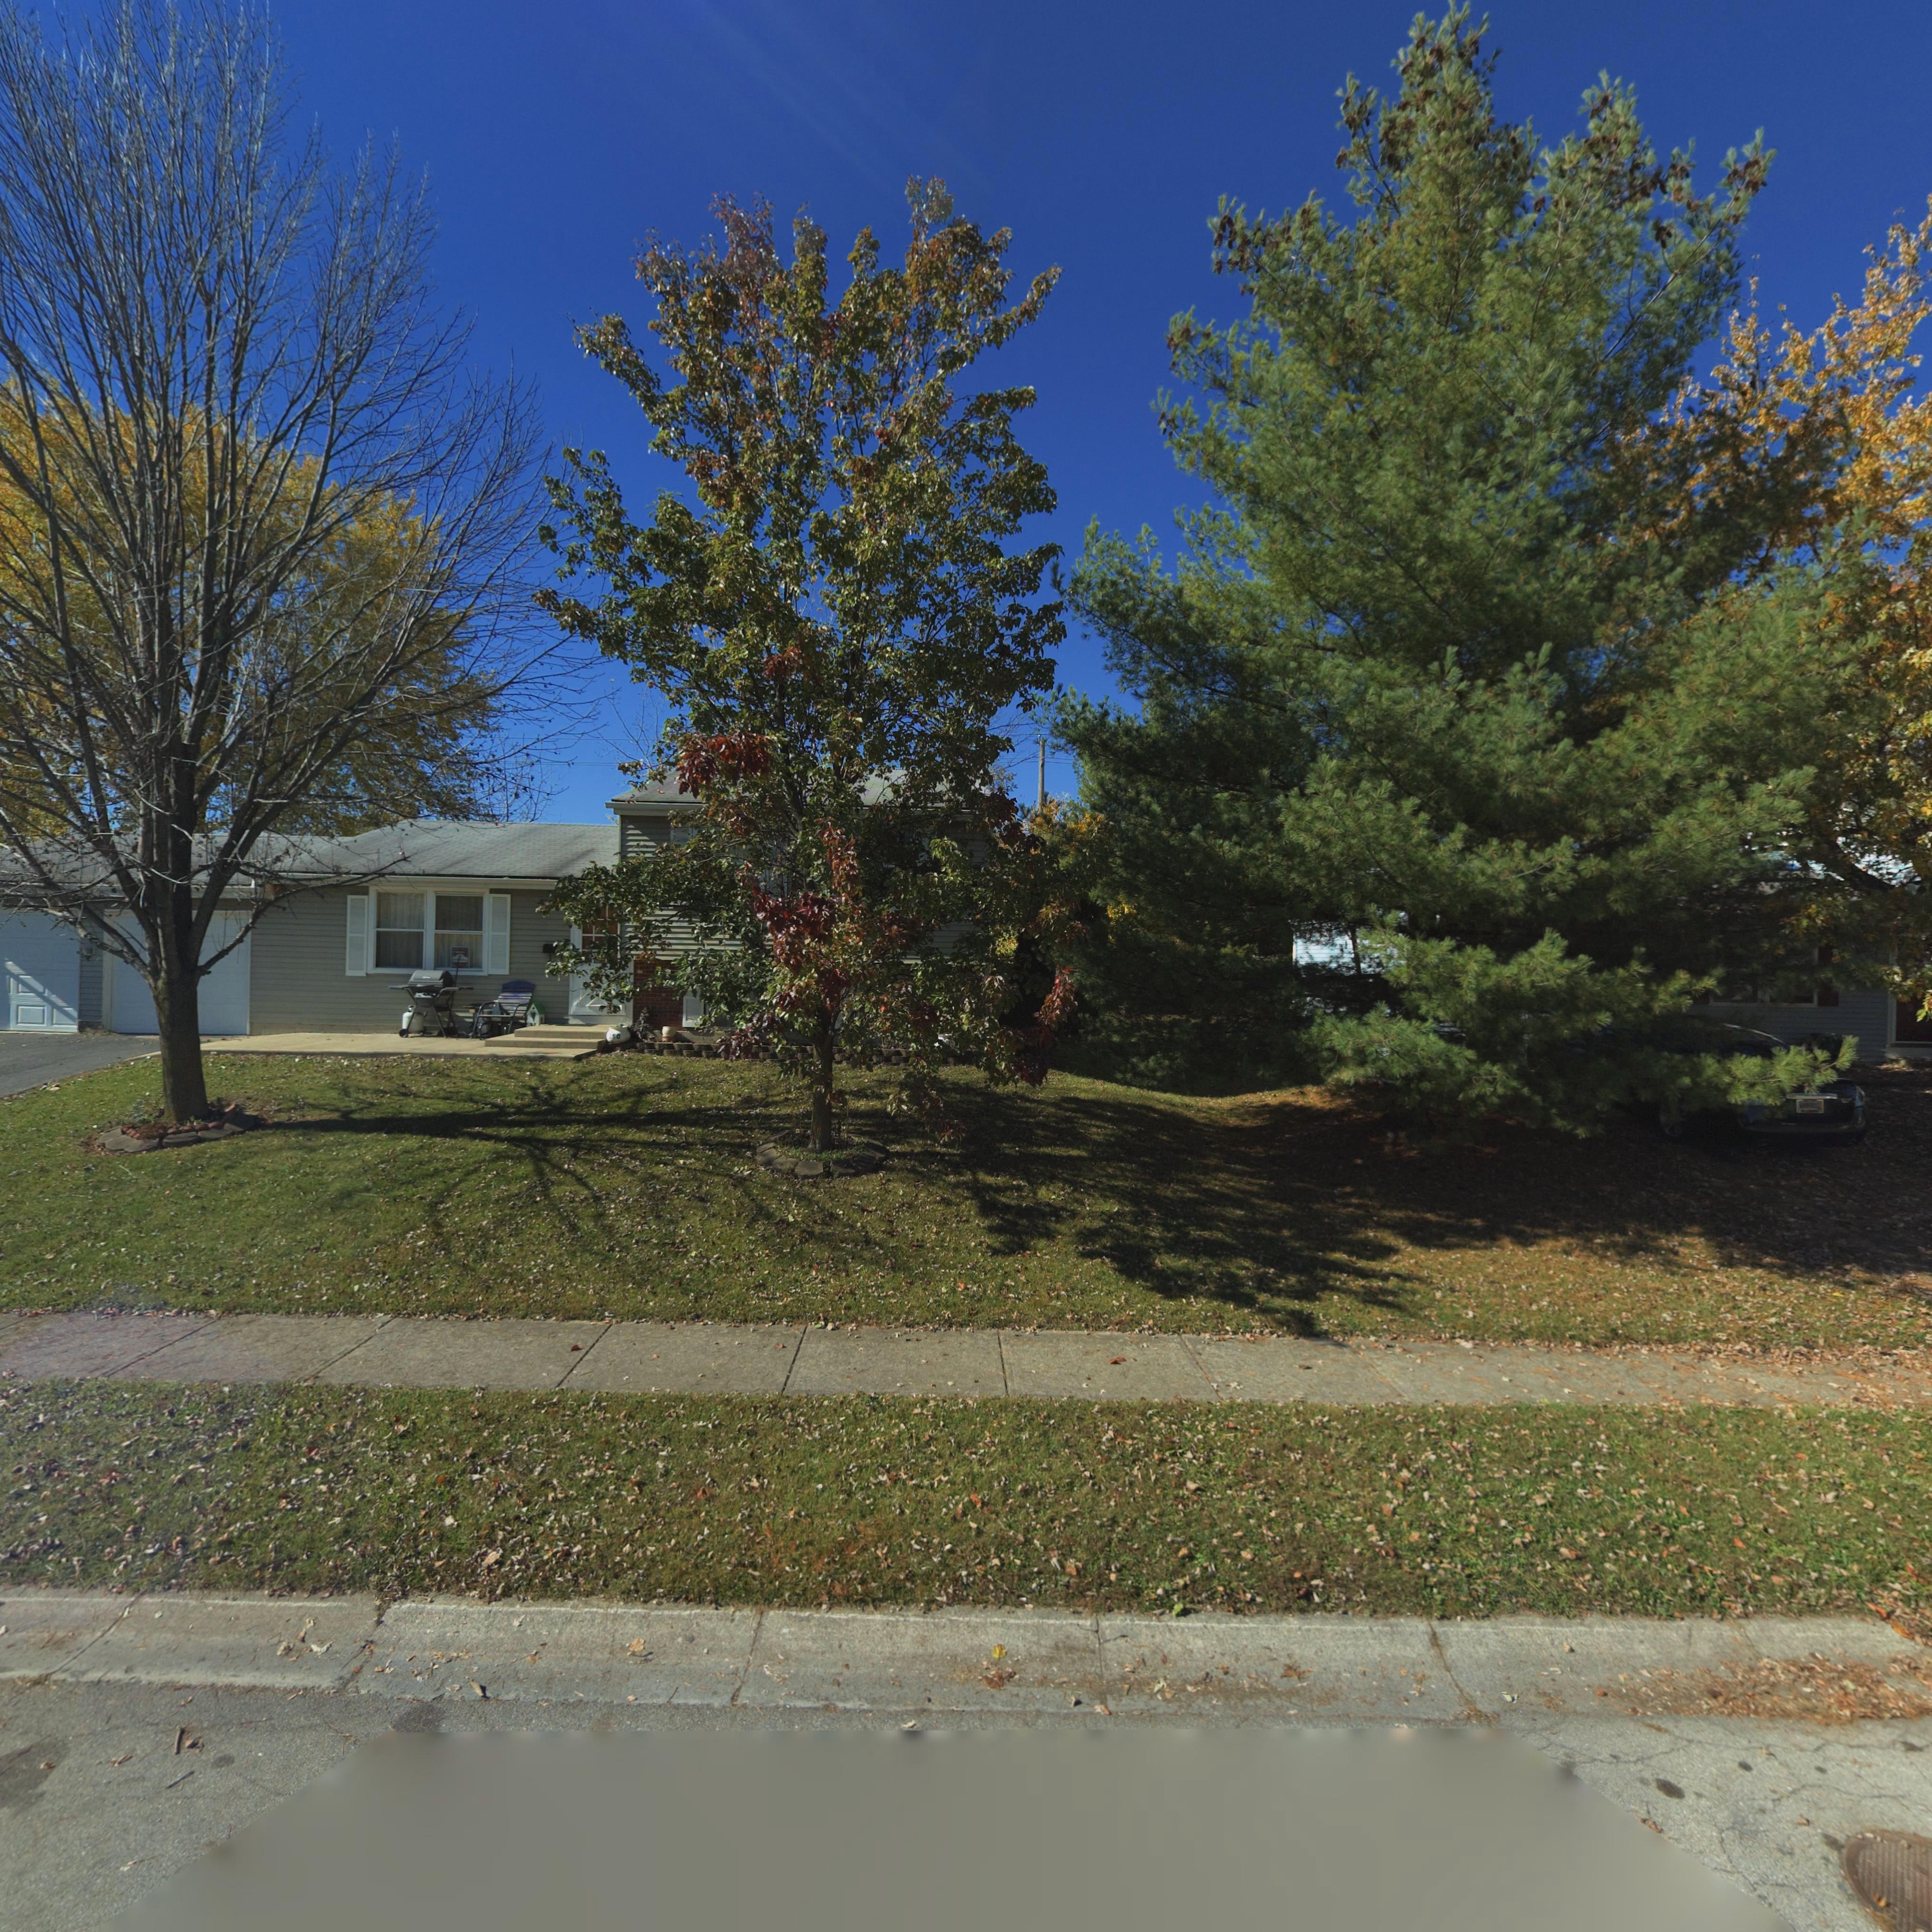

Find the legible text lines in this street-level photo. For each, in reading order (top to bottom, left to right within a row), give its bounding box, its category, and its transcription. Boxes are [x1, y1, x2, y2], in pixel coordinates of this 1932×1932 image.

[609, 1033, 621, 1040] StreetNumber: 250